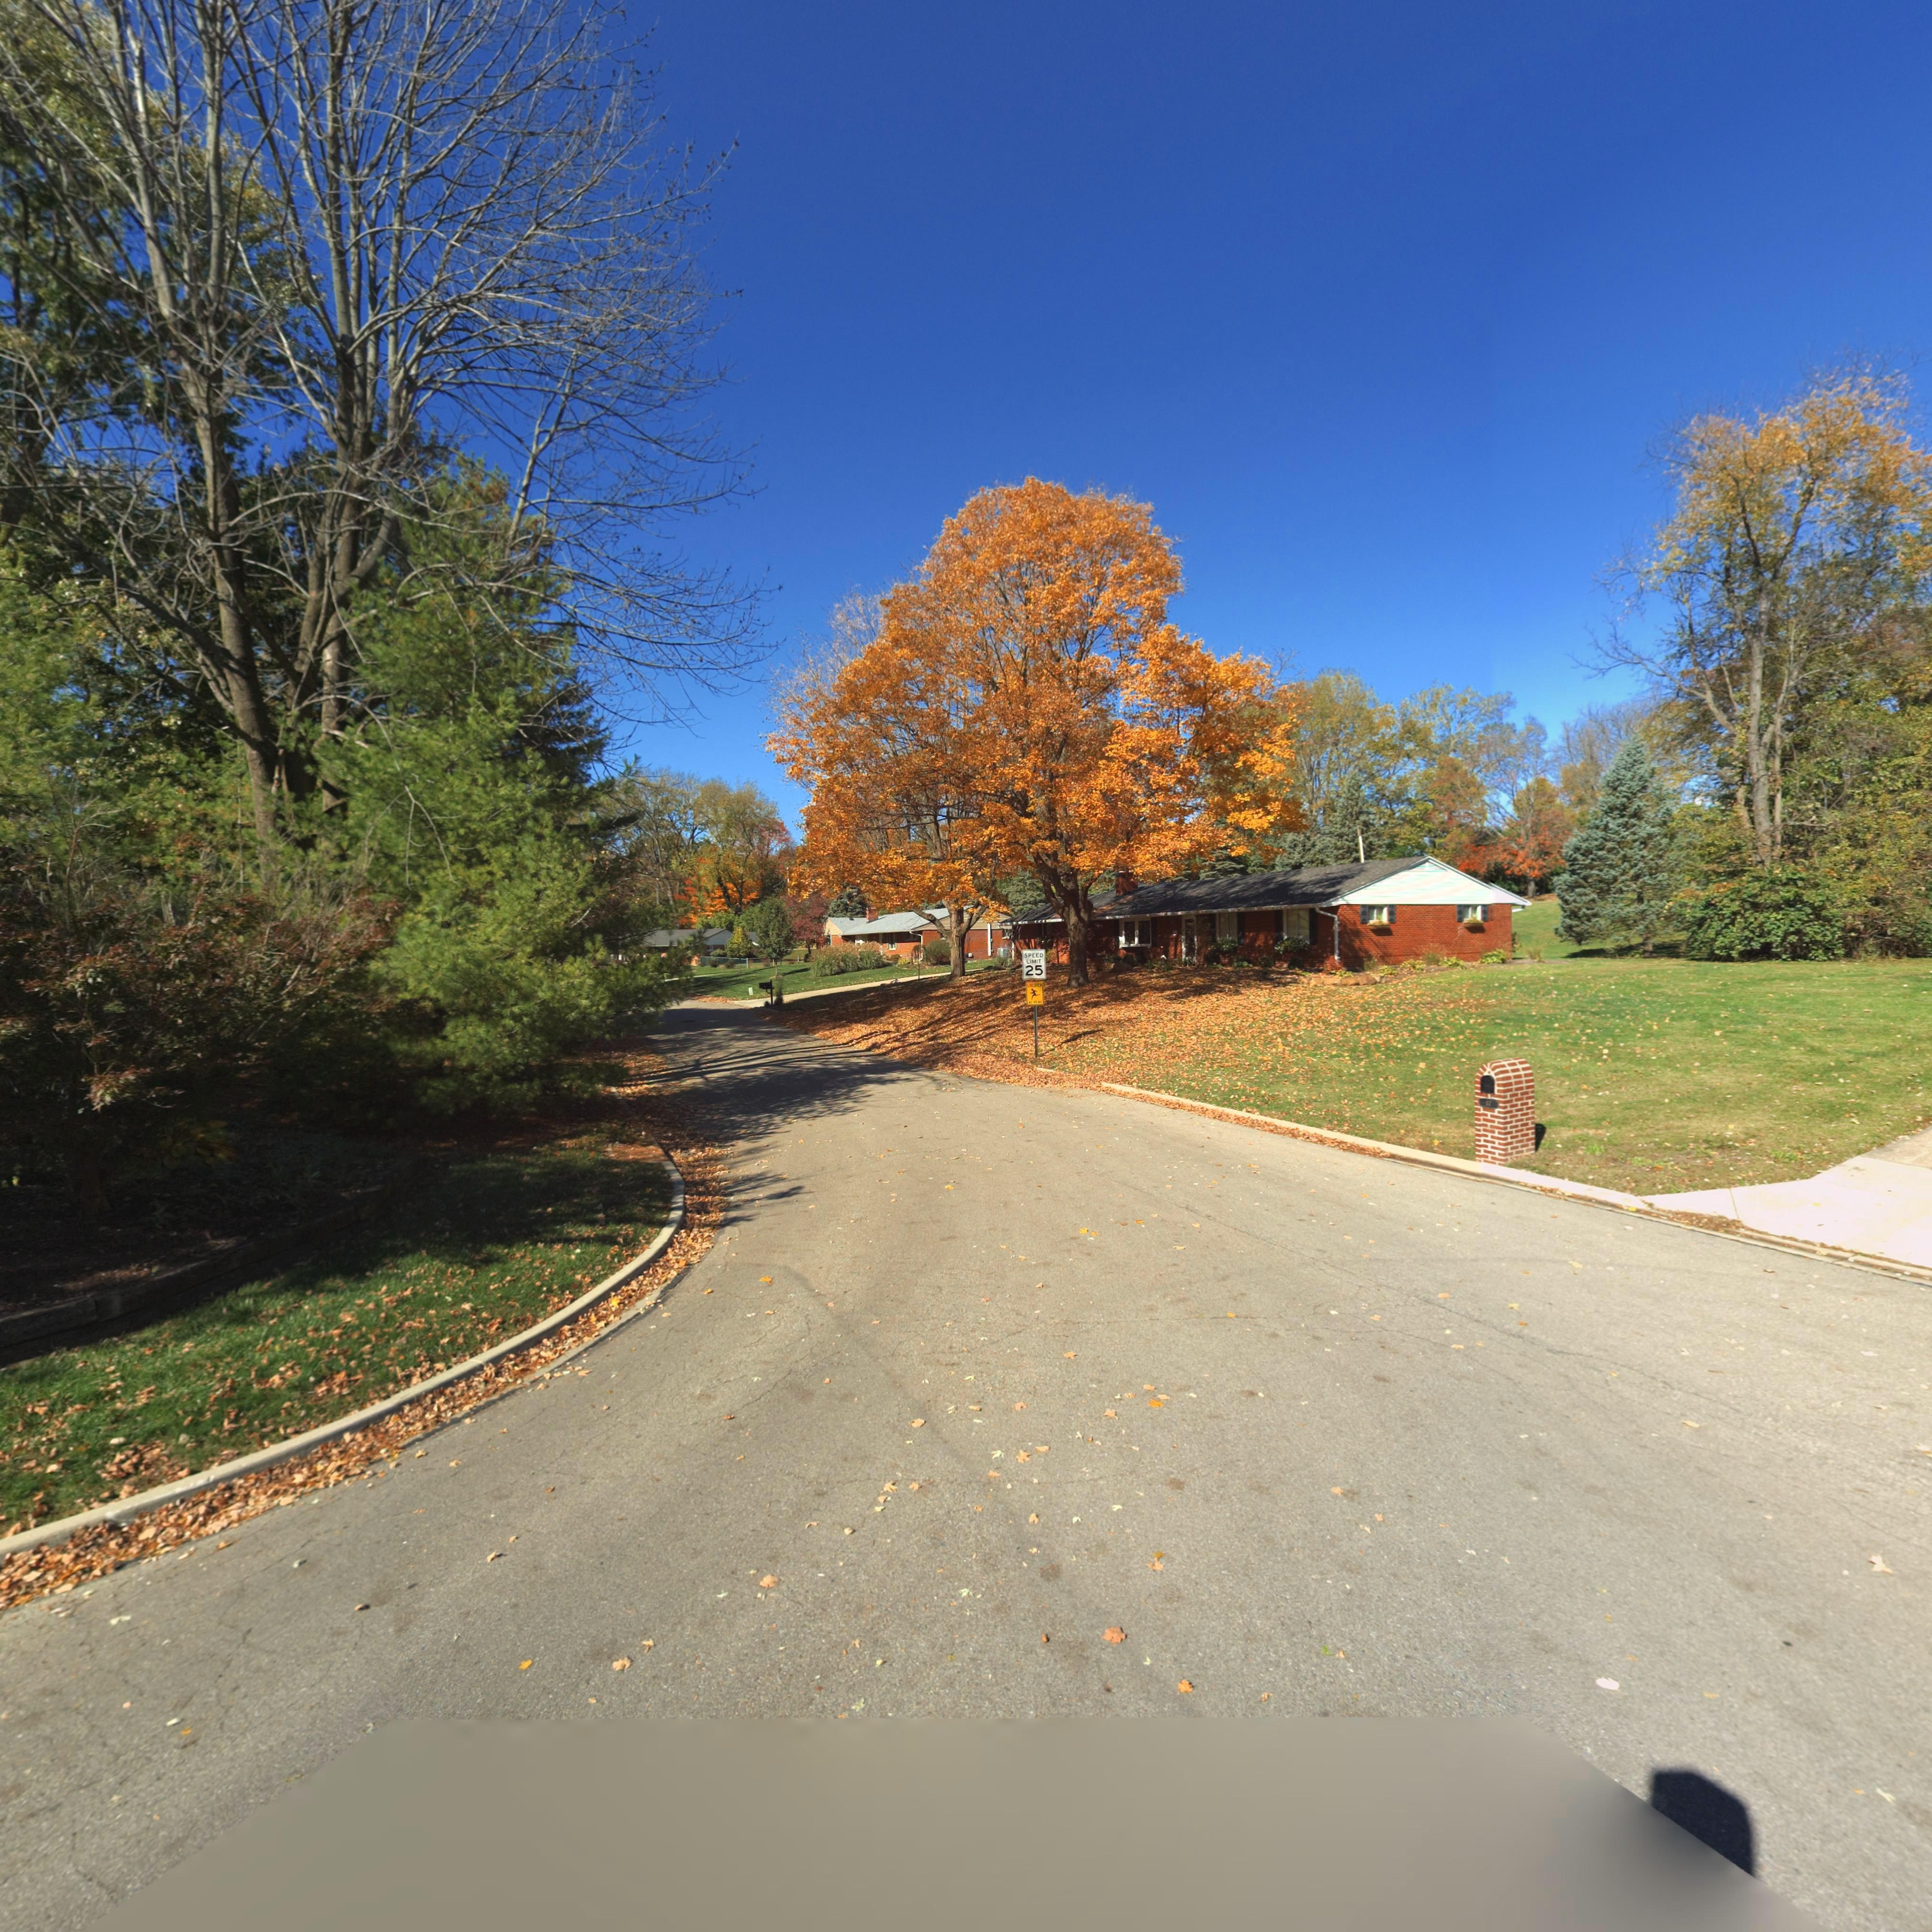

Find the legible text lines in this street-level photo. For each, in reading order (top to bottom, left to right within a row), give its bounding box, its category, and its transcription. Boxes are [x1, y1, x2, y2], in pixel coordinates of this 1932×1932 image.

[1024, 952, 1044, 958] None: SPEED
[1025, 958, 1042, 964] None: LIMIT
[1025, 965, 1043, 976] None: 25
[1027, 982, 1043, 988] None: CHILDREN
[1485, 1100, 1492, 1107] StreetNumber: 17